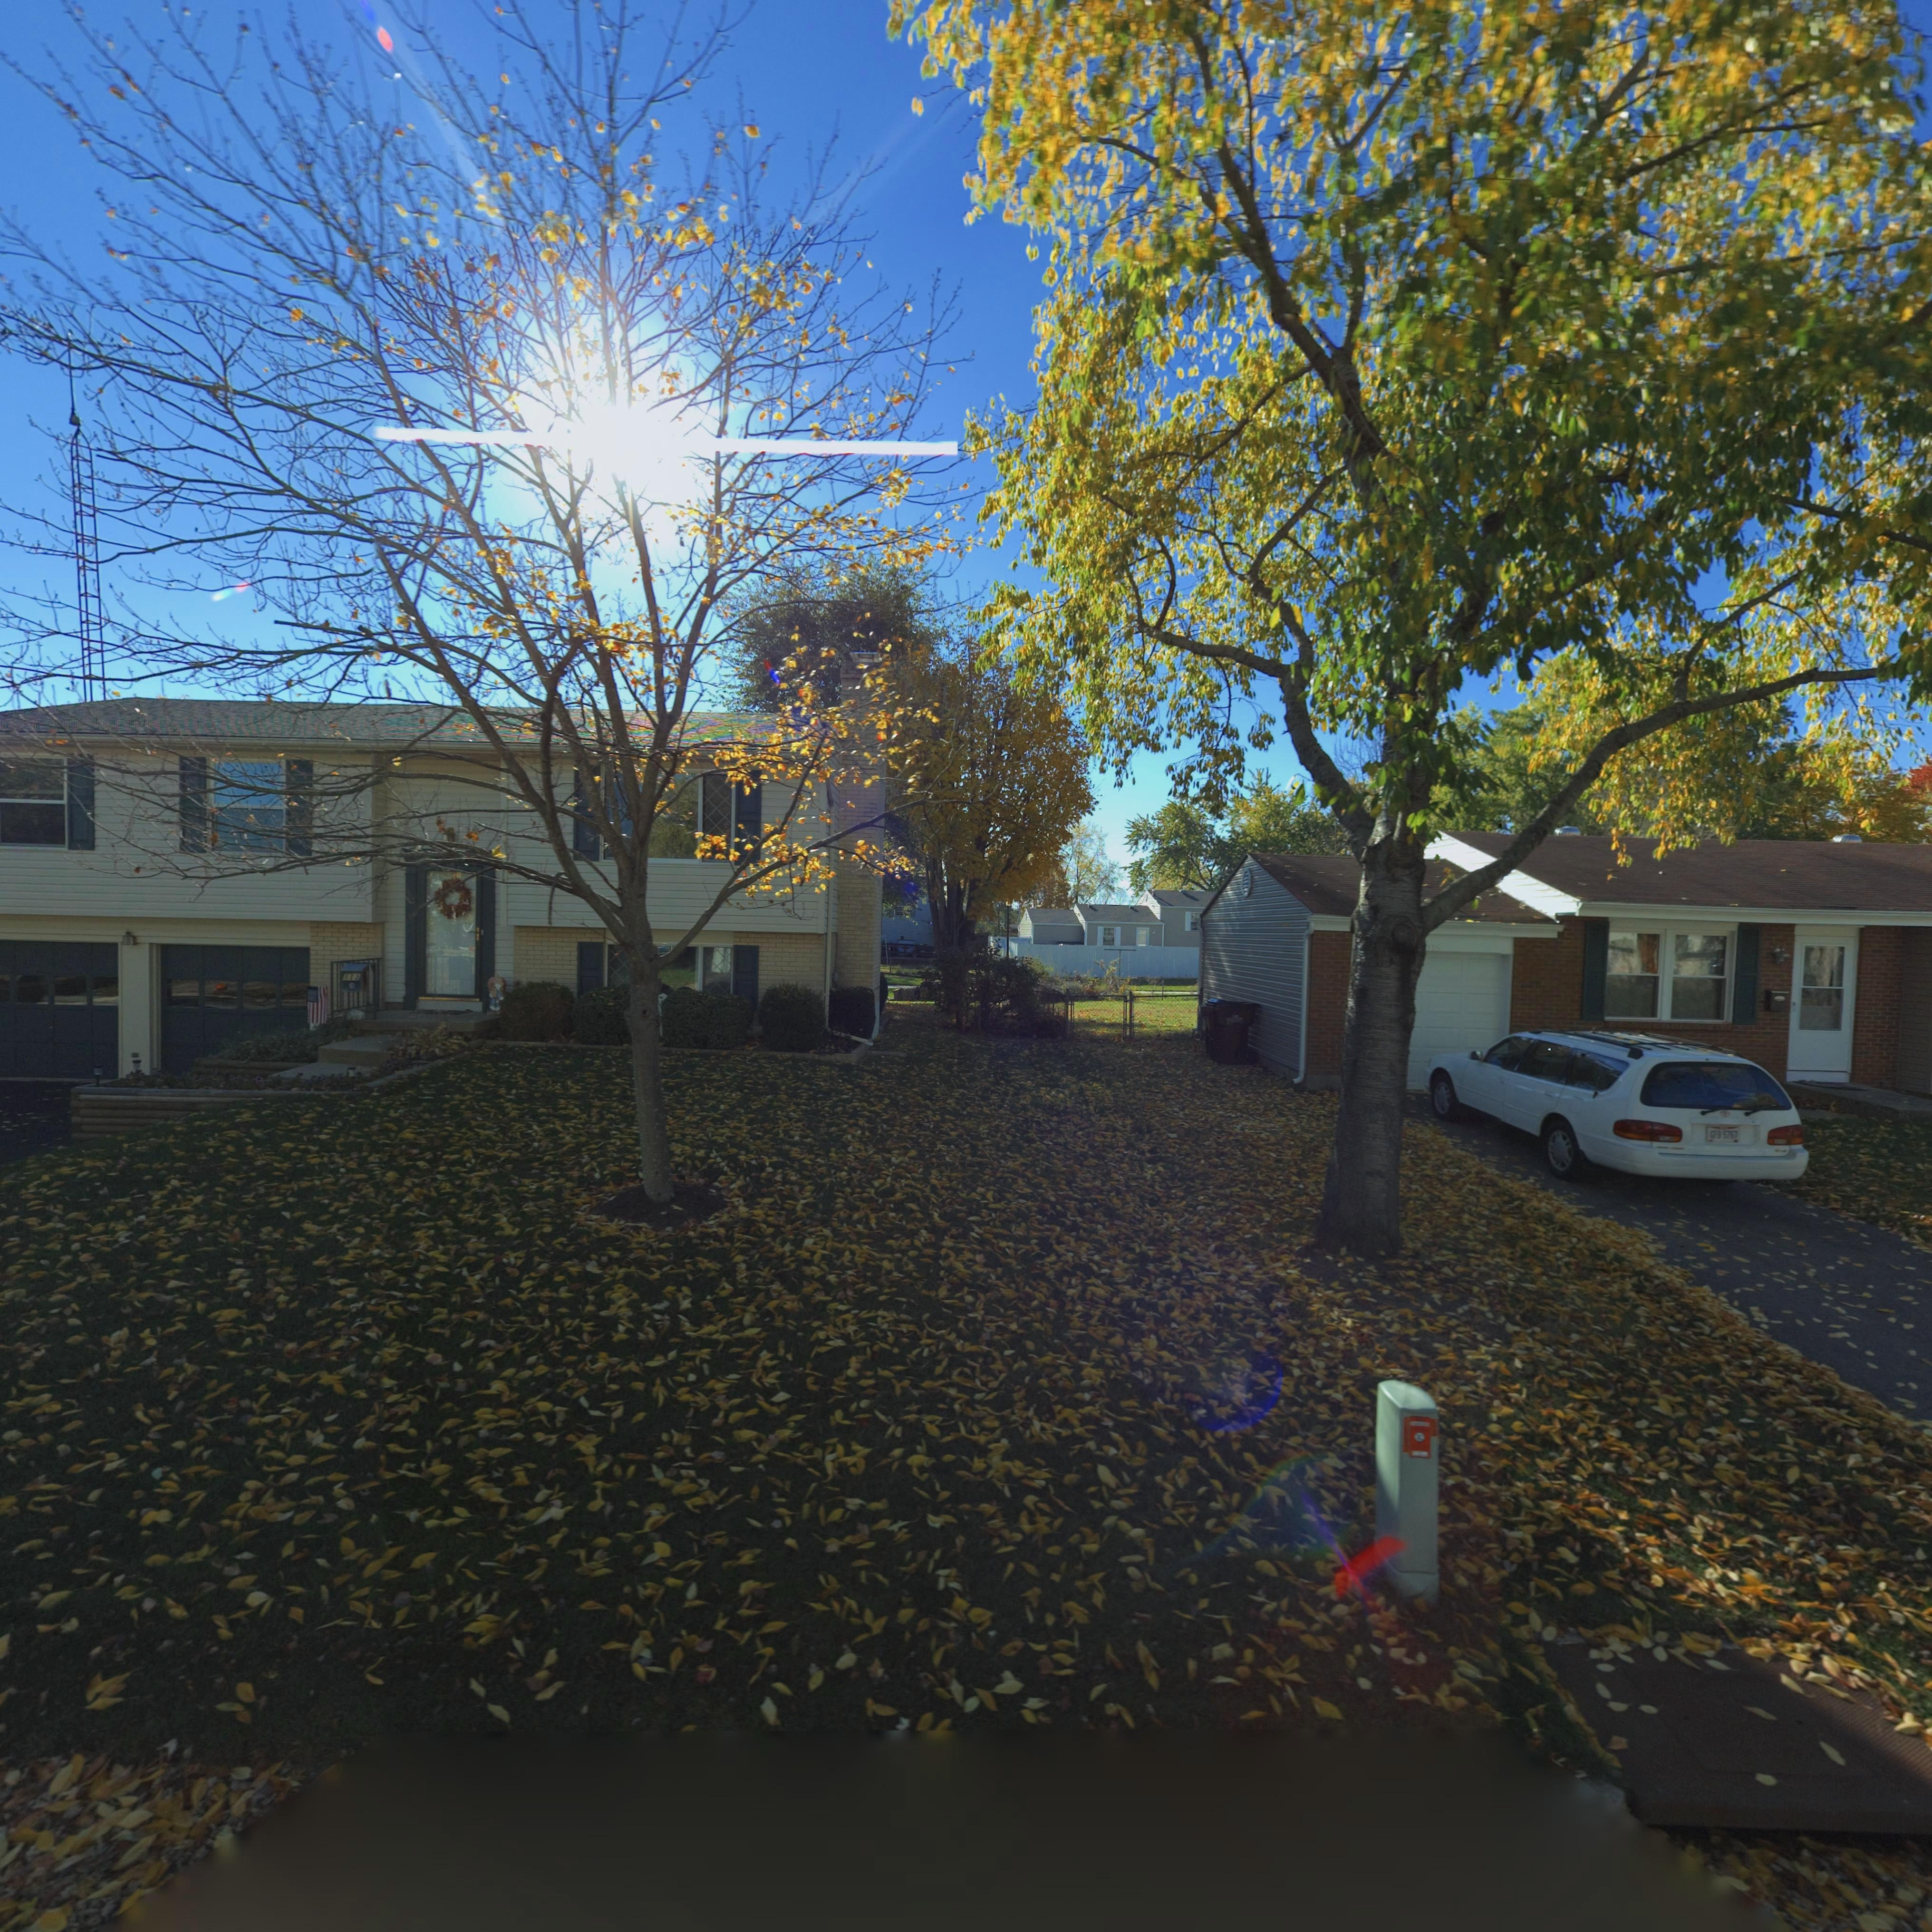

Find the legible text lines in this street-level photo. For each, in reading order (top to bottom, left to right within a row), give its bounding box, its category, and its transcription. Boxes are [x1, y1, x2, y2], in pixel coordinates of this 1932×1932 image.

[1427, 944, 1442, 952] StreetNumber: 115
[344, 974, 359, 981] StreetNumber: 113